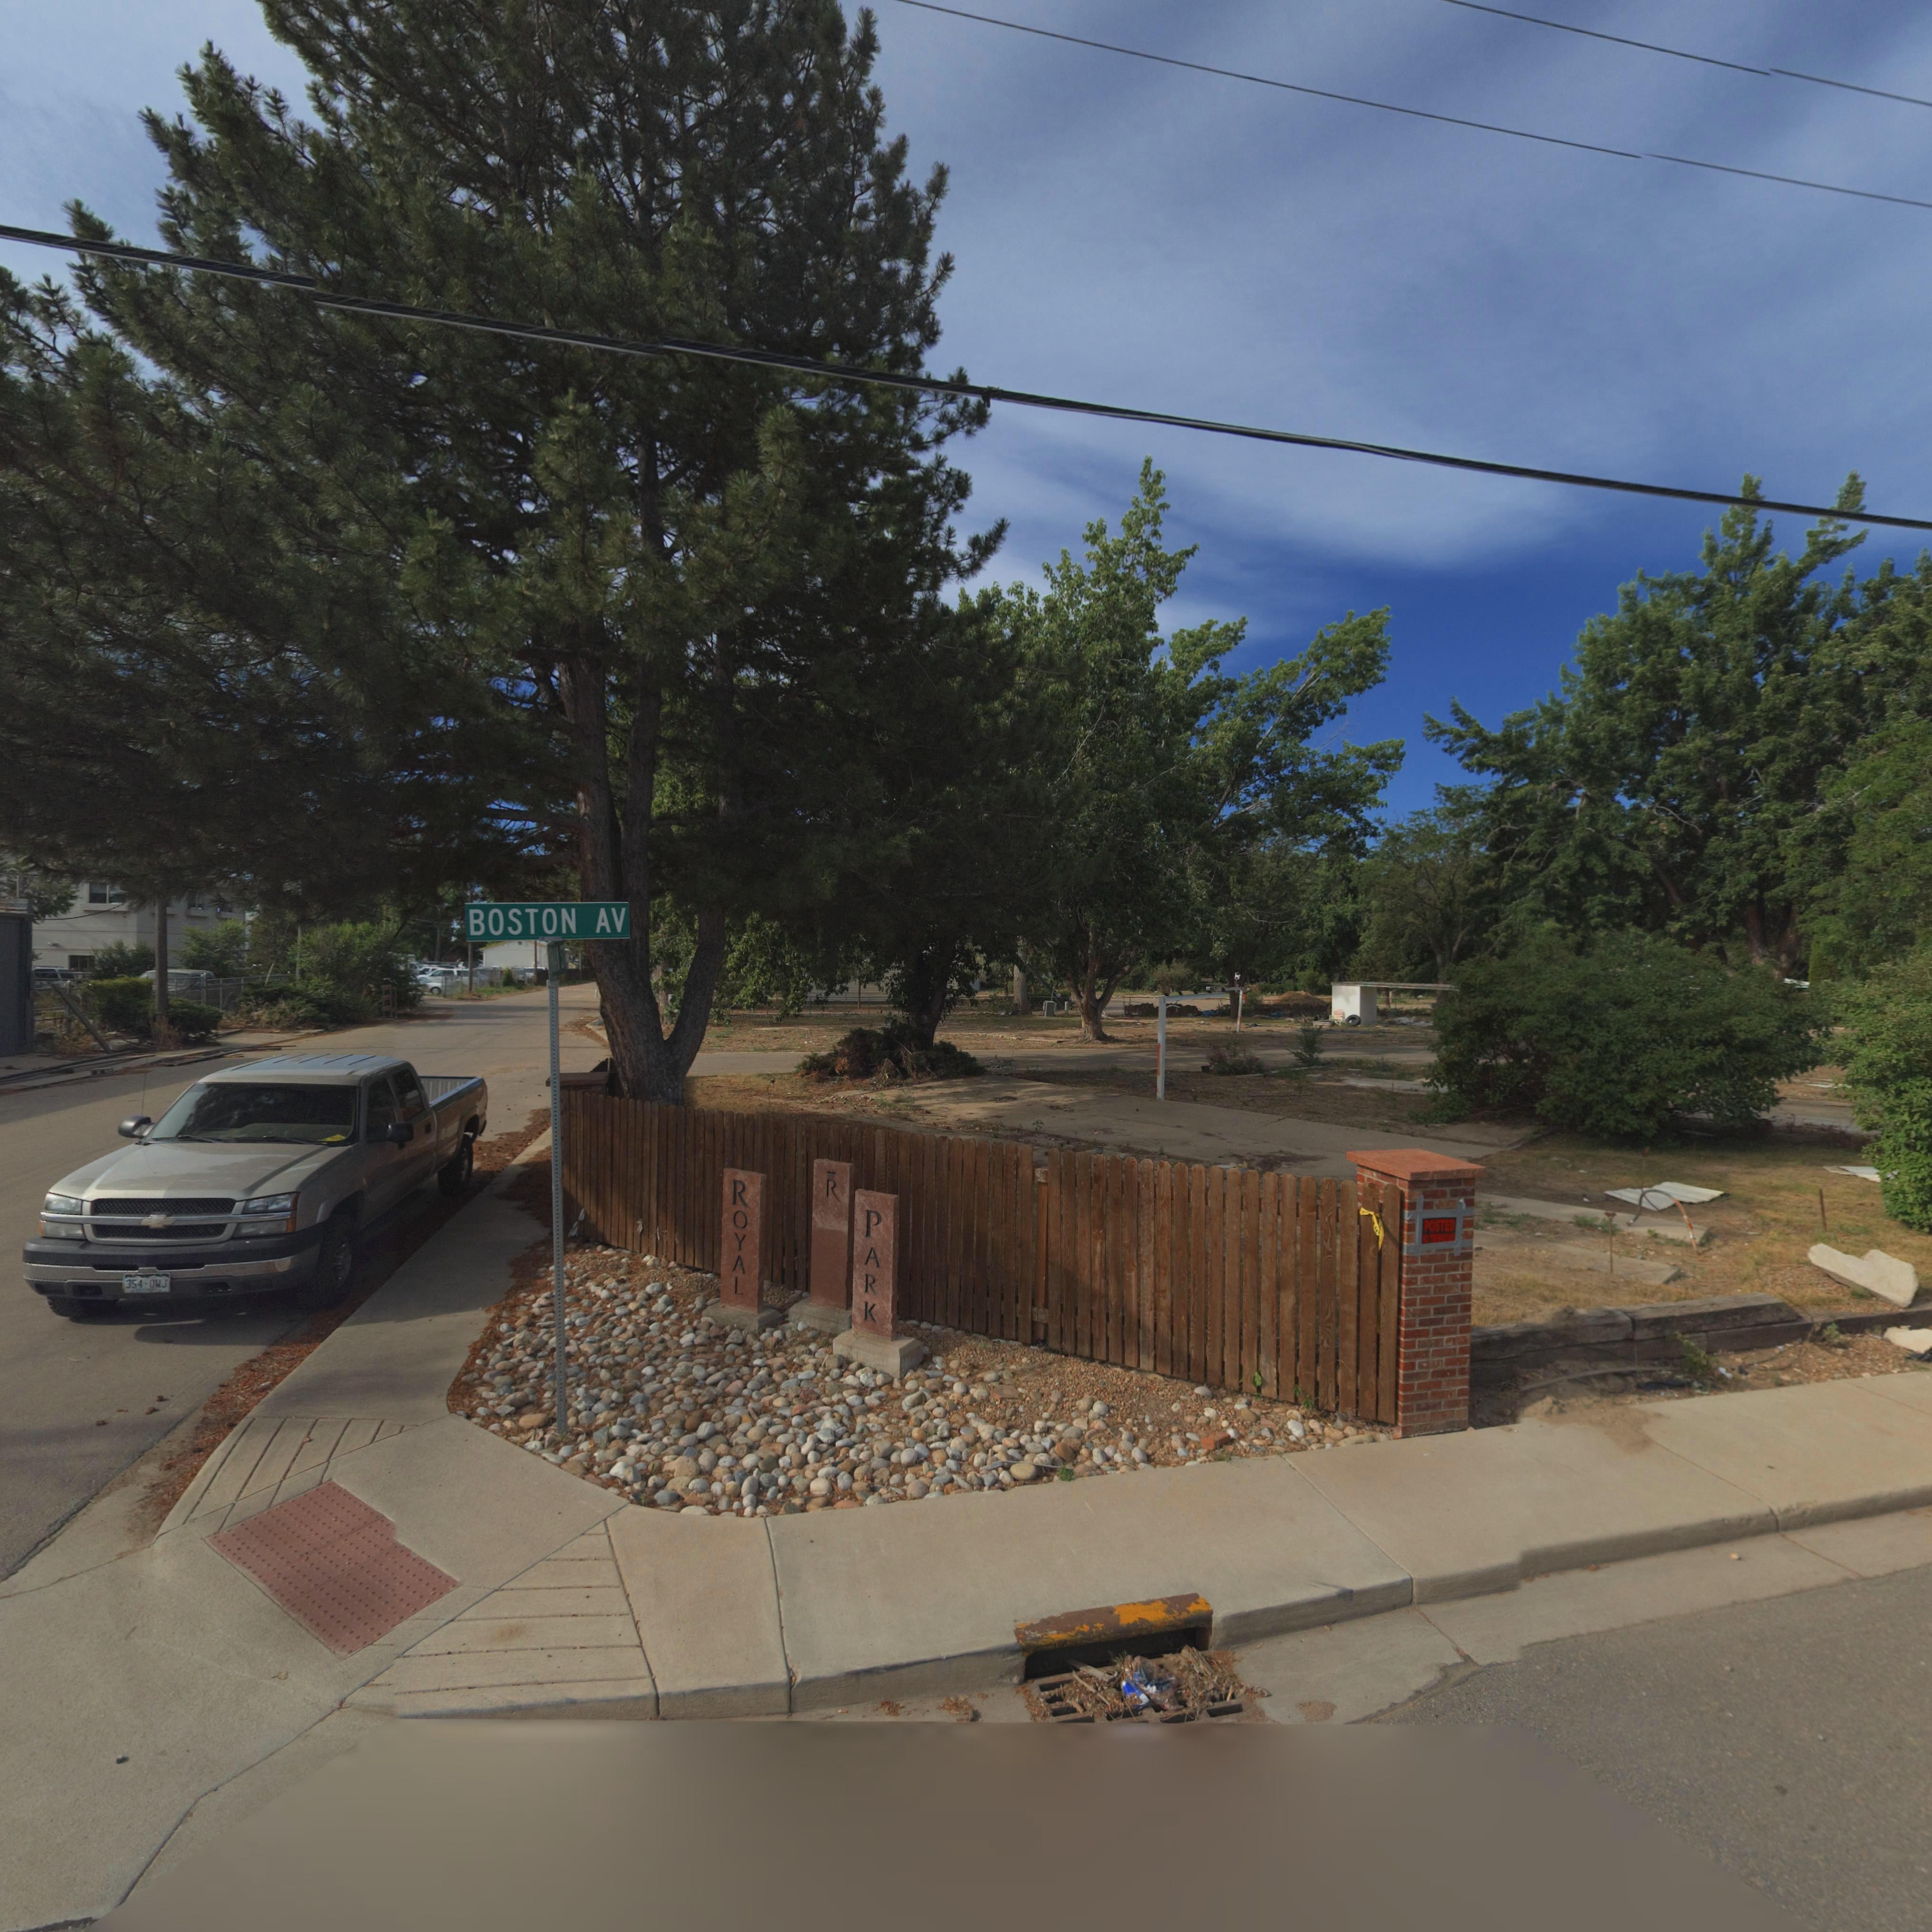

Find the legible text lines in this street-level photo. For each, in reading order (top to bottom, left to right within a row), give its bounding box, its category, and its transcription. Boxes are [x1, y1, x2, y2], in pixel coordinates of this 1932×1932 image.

[469, 908, 626, 935] StreetName: BOSTON AV
[731, 1180, 749, 1295] BusinessName: ROYAL
[864, 1210, 882, 1324] BusinessName: PARK